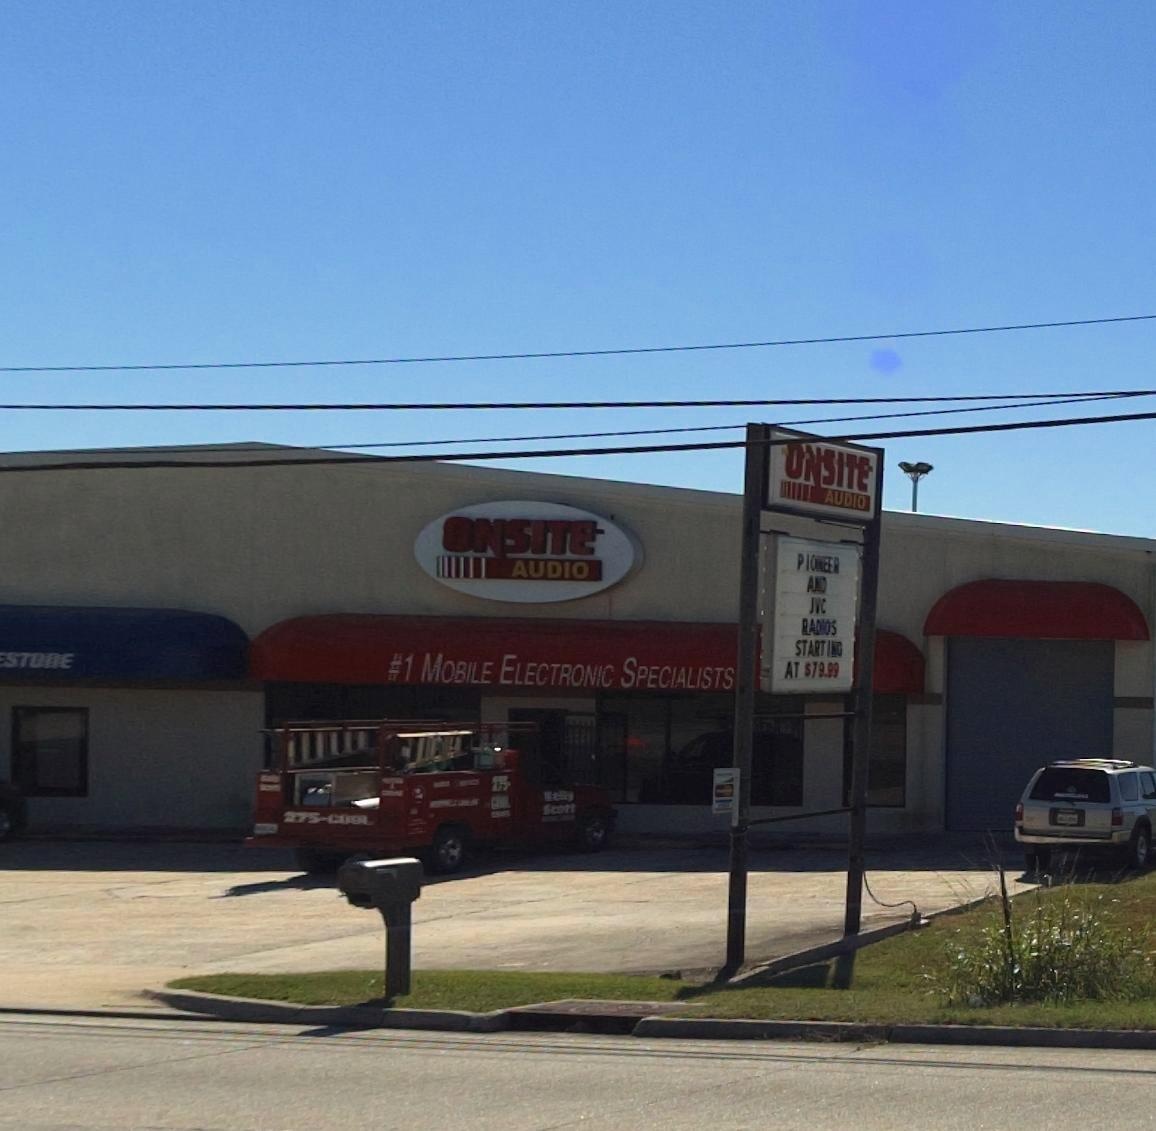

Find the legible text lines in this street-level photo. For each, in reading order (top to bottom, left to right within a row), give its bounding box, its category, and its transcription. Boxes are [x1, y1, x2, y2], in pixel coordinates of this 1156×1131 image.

[784, 433, 873, 497] BusinessName: ONSITE
[820, 486, 869, 512] BusinessName: AUDIO
[439, 513, 601, 558] BusinessName: ONSITE
[505, 557, 593, 583] BusinessName: AUDIO
[794, 550, 843, 577] None: PIONEER
[802, 572, 830, 597] None: AND
[806, 594, 830, 617] None: JVC
[799, 615, 841, 639] None: RADIOS
[2, 649, 78, 671] BusinessName: STONE
[395, 647, 738, 693] None: 1 MOBILE ELECTRONIC SPECIALISTS
[781, 657, 845, 681] None: AT $79.99
[792, 636, 847, 660] None: STARTING
[280, 808, 377, 830] None: 275-C**L